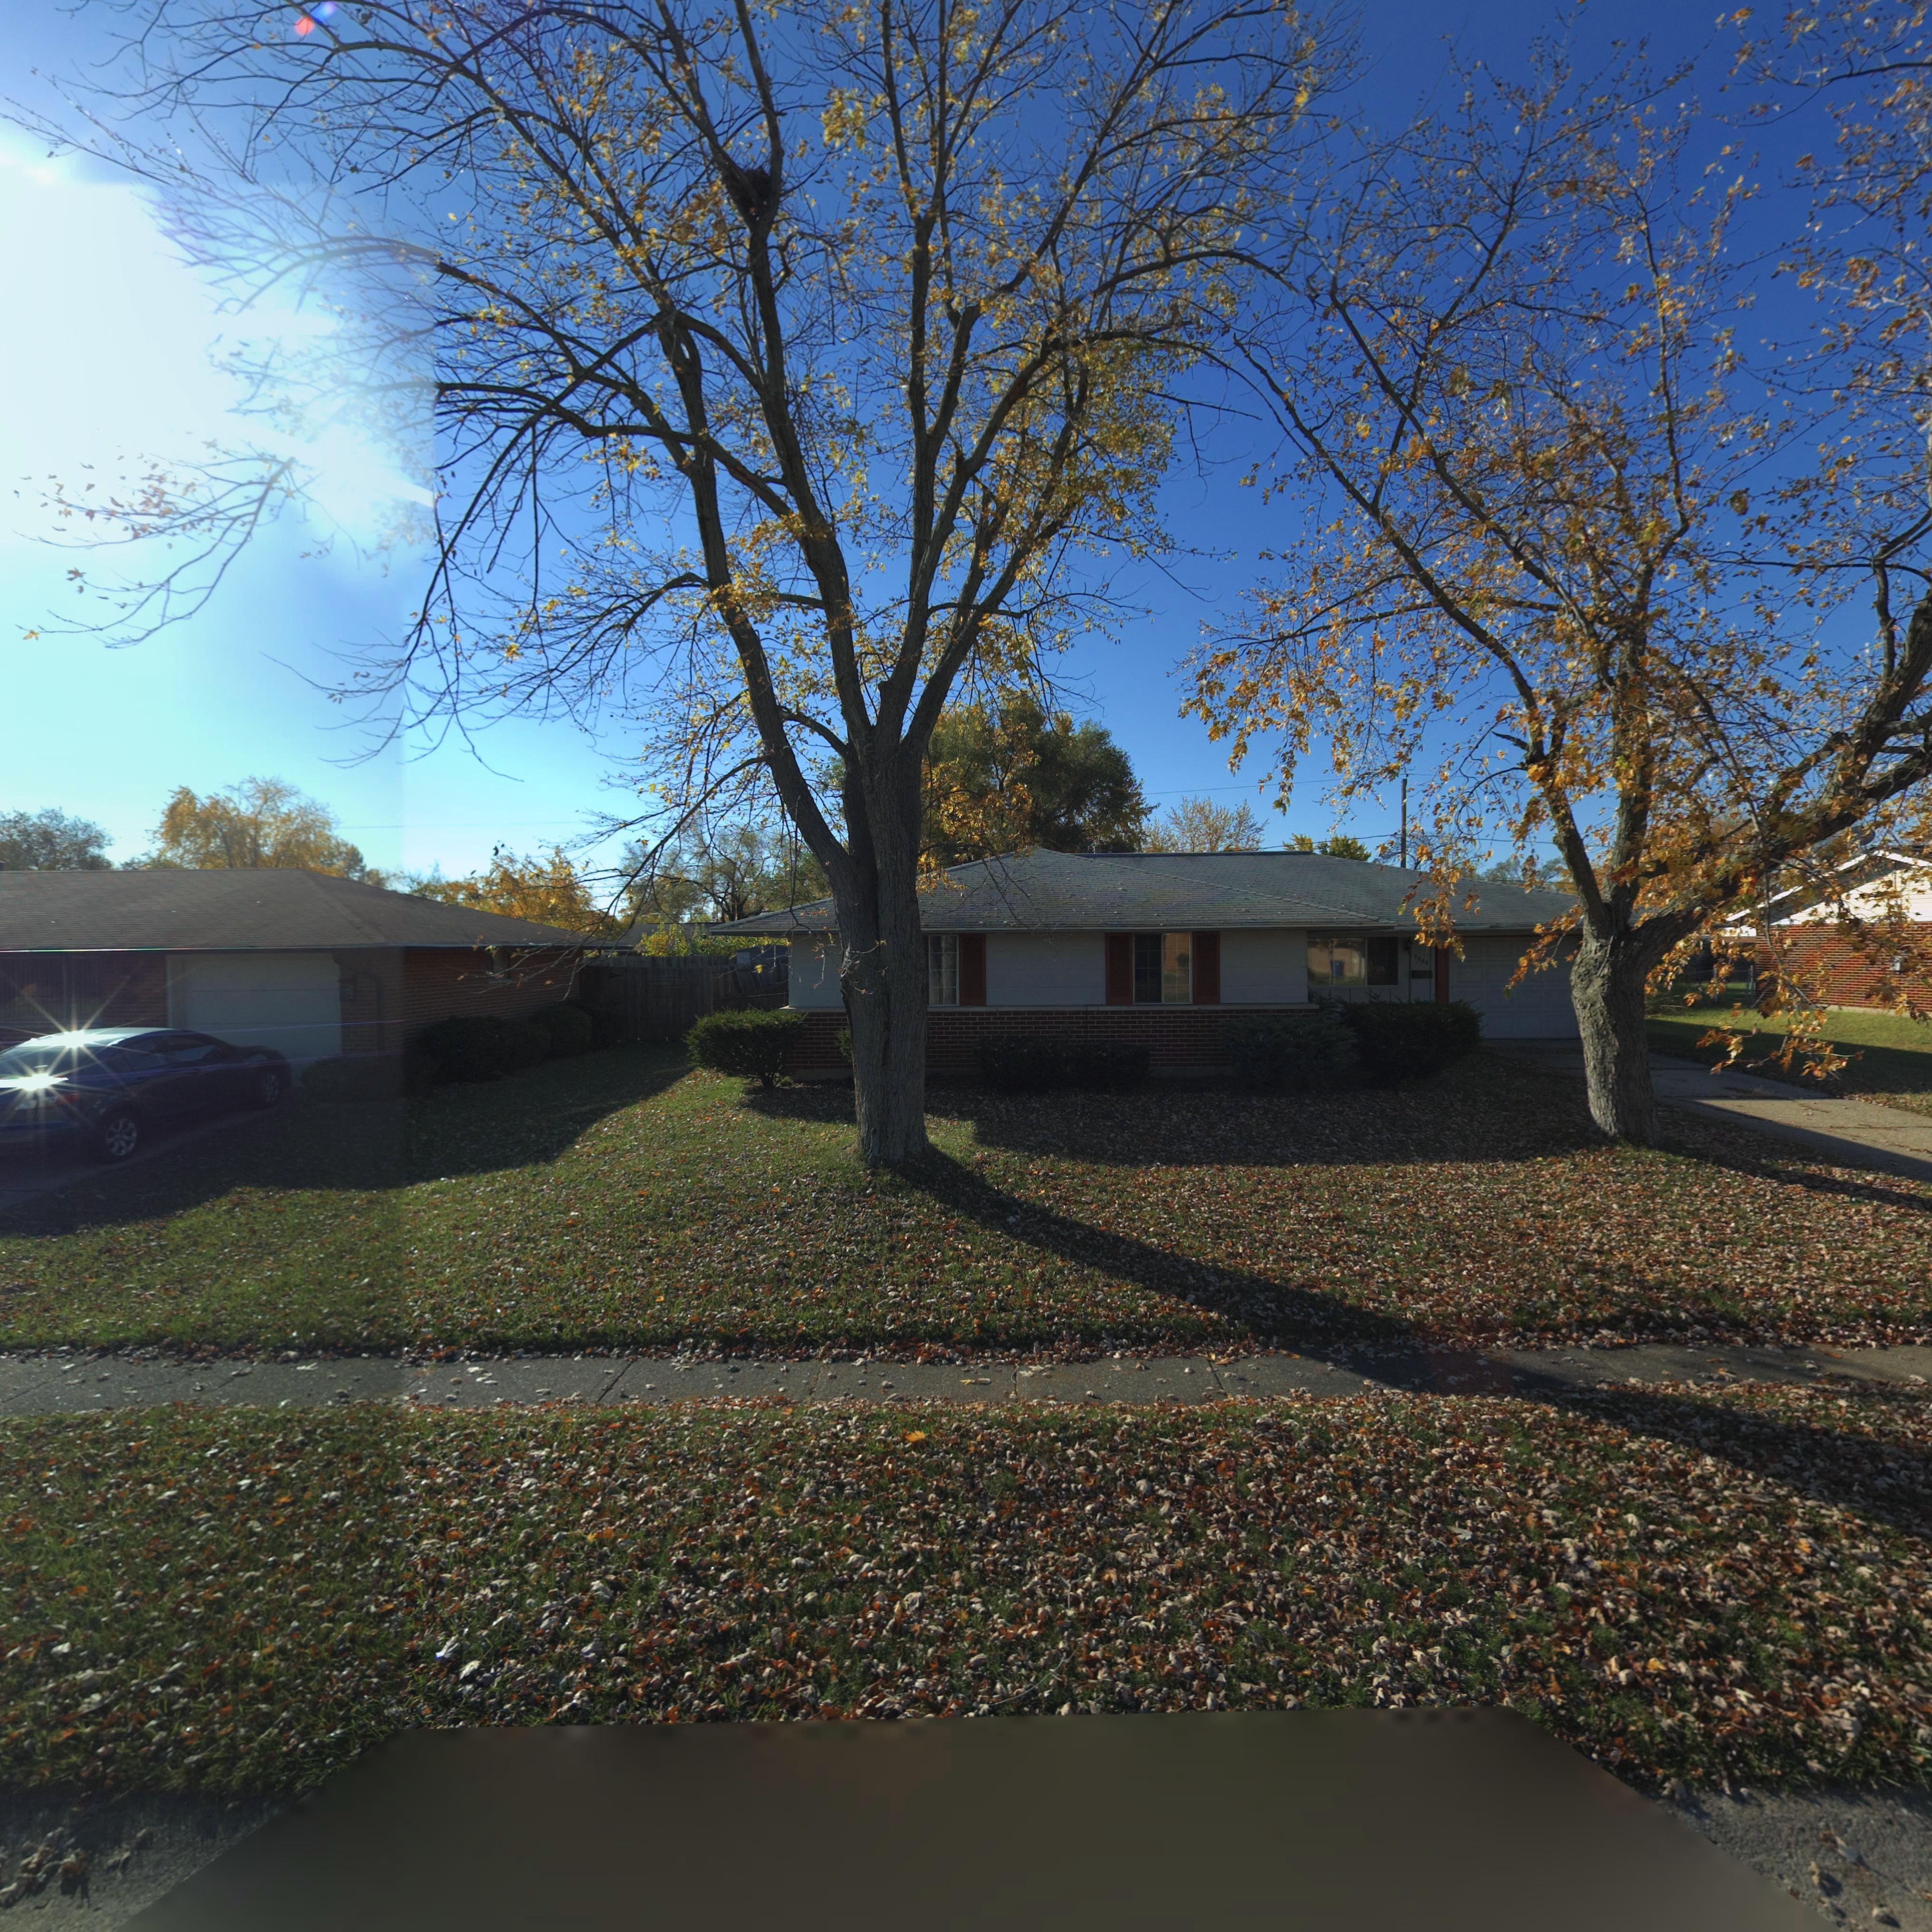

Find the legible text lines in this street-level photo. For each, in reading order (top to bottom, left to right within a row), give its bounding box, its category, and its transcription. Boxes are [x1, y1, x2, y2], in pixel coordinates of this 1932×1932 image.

[1413, 954, 1429, 965] StreetNumber: 7948